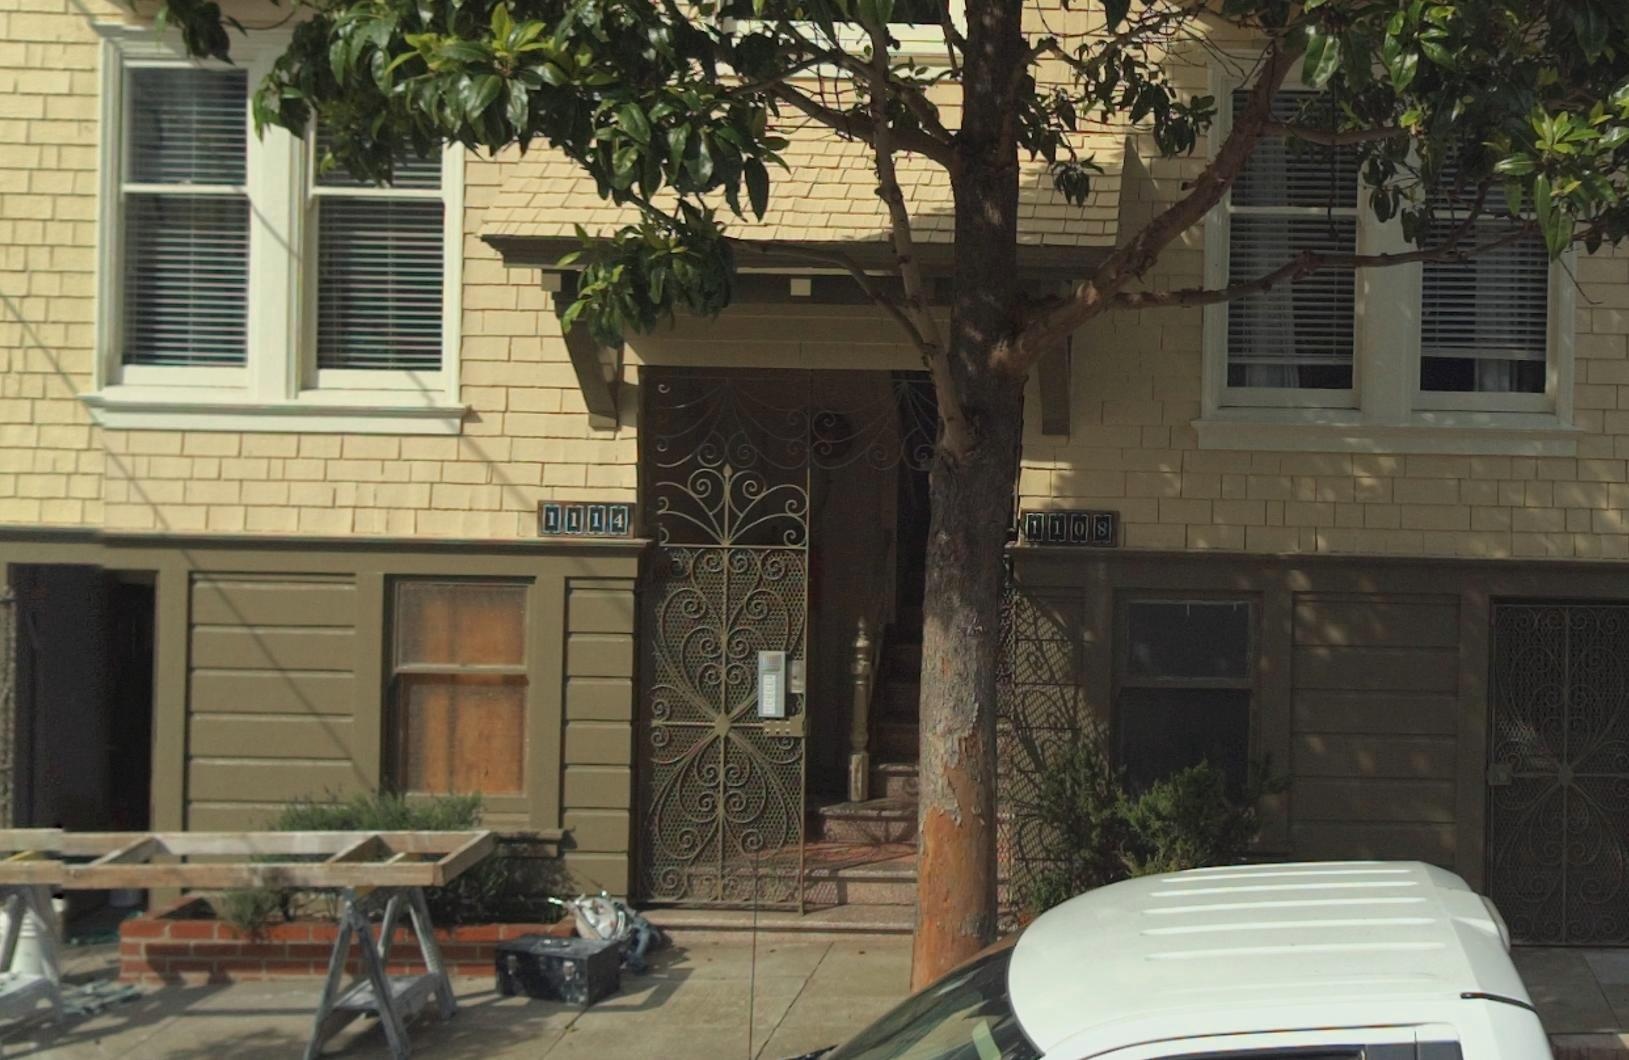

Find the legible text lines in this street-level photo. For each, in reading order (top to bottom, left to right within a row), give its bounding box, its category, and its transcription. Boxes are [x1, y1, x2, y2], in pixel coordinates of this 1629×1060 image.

[546, 511, 625, 529] StreetNumber: 1114
[1028, 519, 1109, 538] StreetNumber: 1108